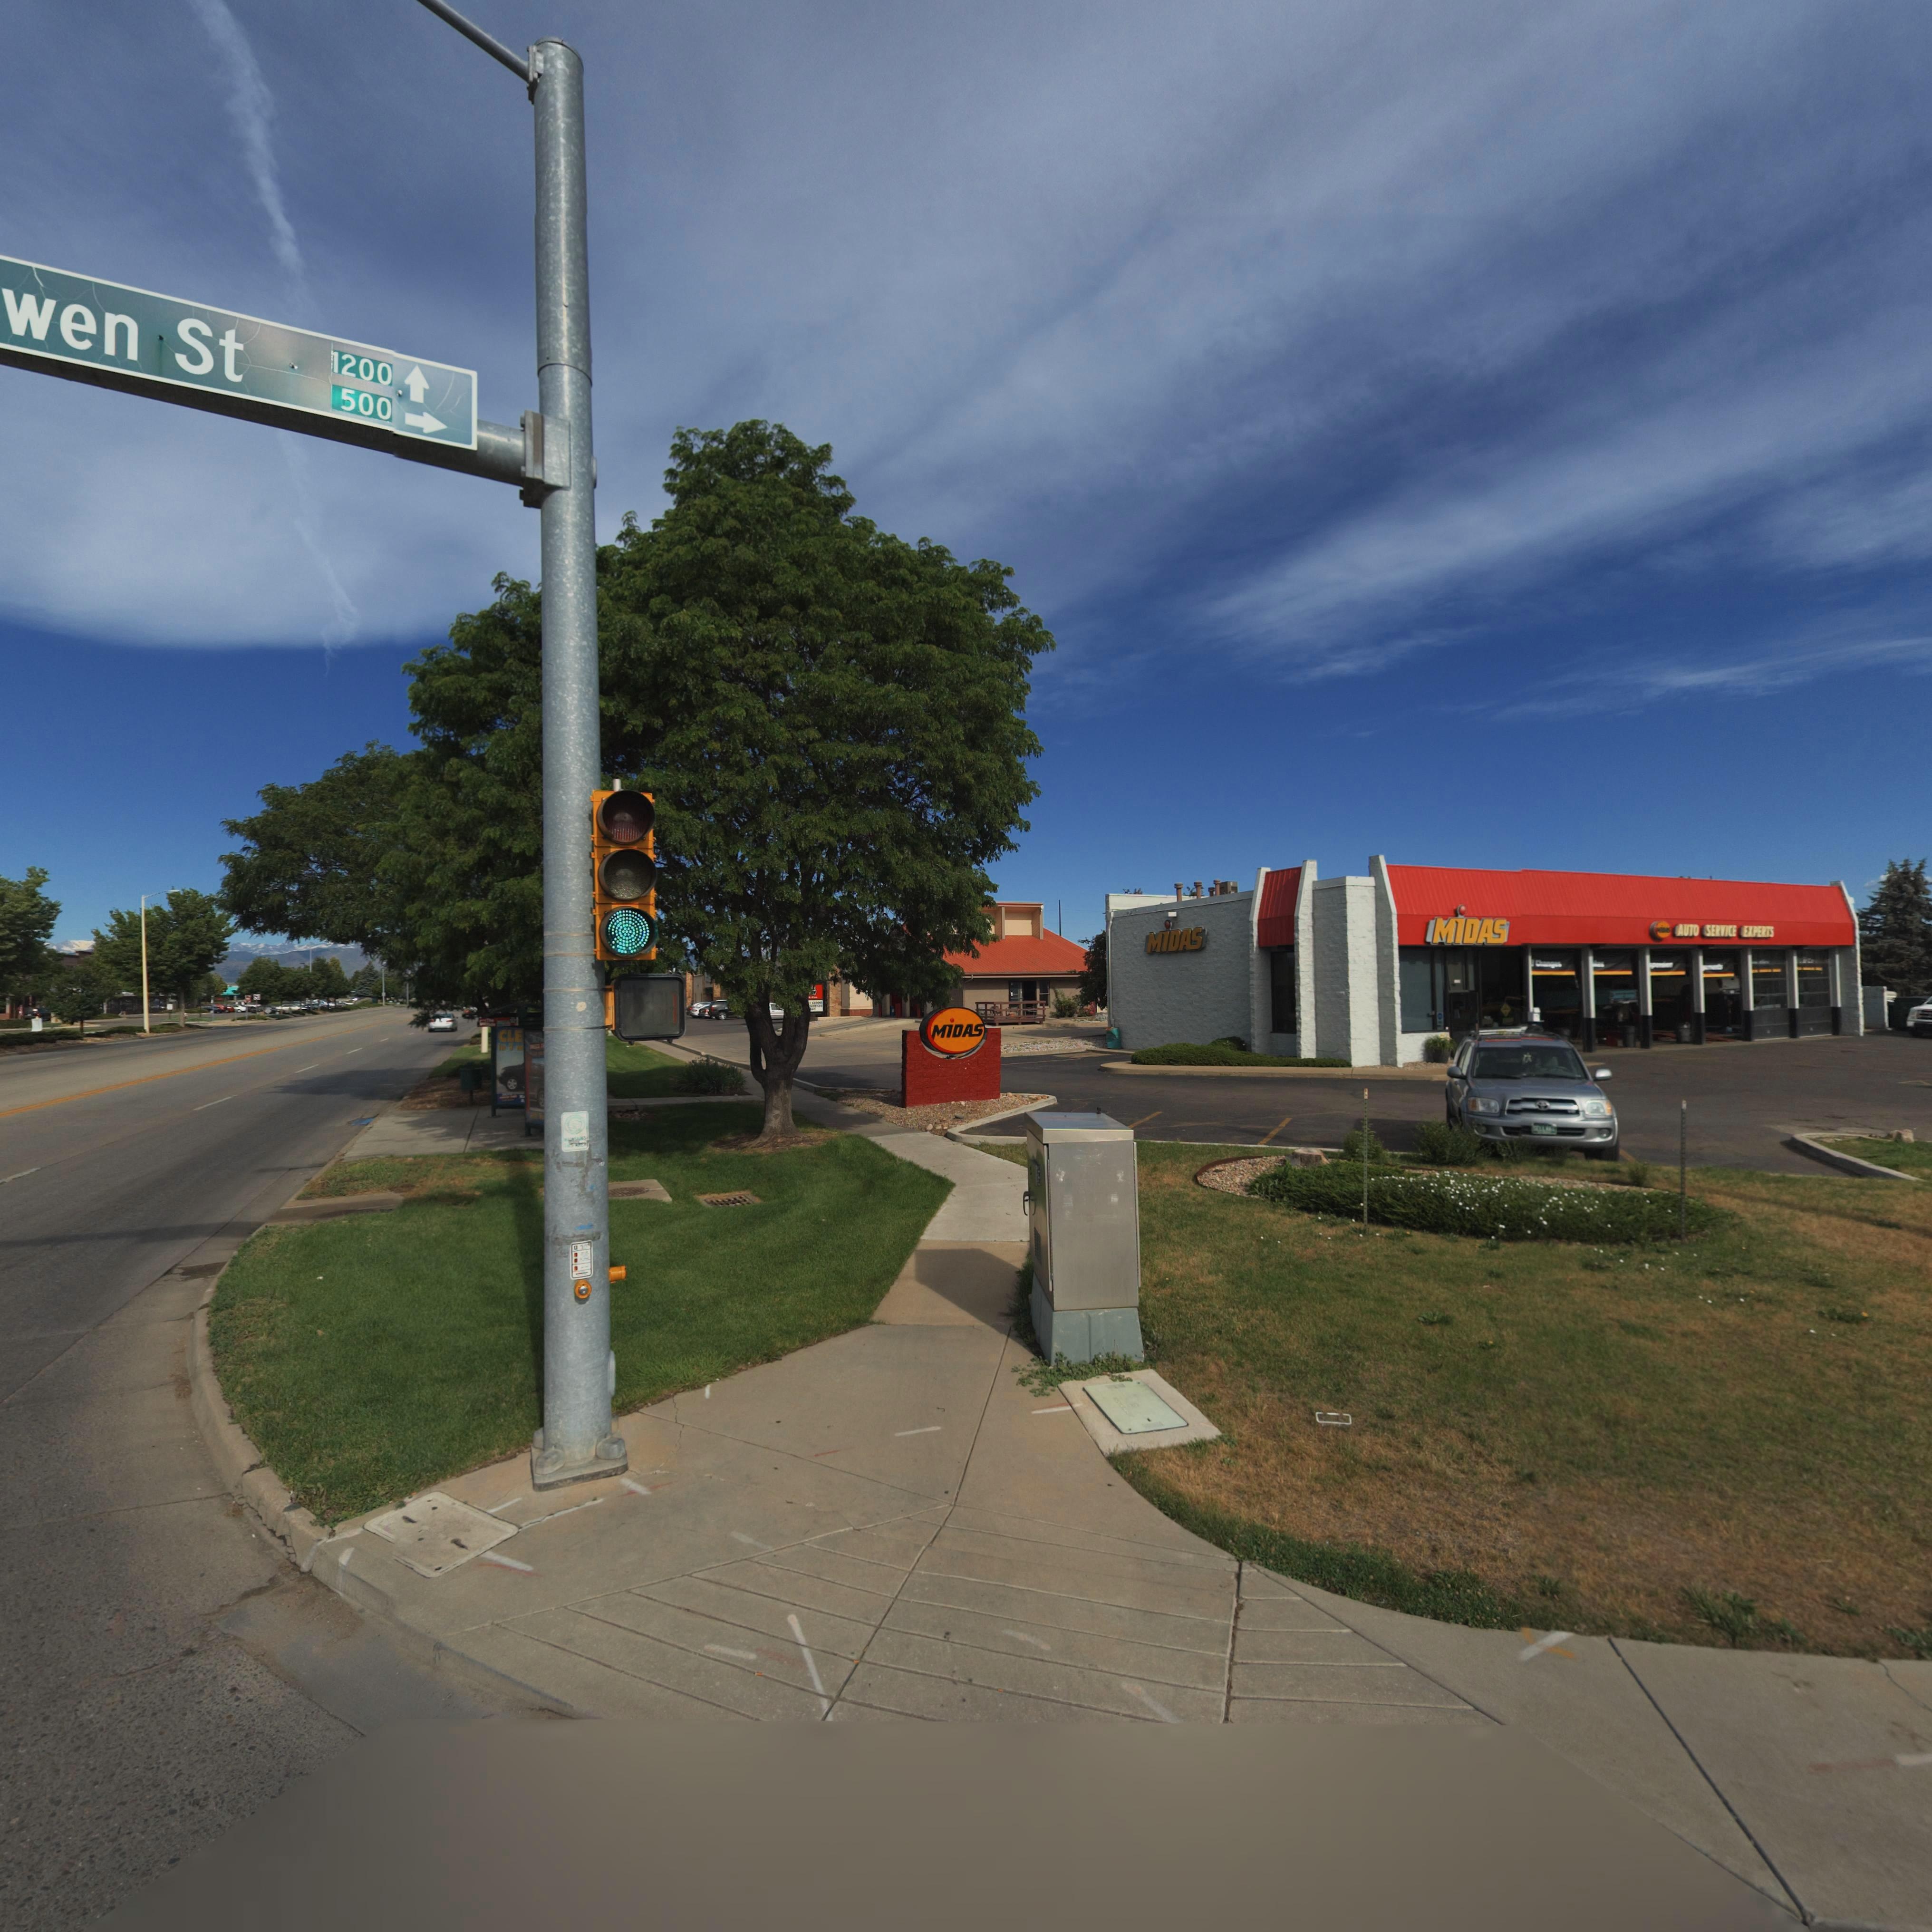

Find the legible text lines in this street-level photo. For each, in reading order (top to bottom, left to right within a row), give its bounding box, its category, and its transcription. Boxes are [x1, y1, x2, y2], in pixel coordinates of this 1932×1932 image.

[1, 287, 247, 383] StreetName: wen St
[332, 350, 392, 386] StreetNumberRange: 1200
[339, 386, 449, 435] StreetNumberRange: 500->
[1146, 920, 1203, 953] BusinessName: MiDAS
[1431, 905, 1506, 944] BusinessName: MiDAS
[1655, 924, 1671, 933] BusinessName: ****S
[1675, 923, 1774, 937] BusinessName: AUTO SERVICE EXPERTS
[931, 1017, 985, 1040] BusinessName: MiDAS